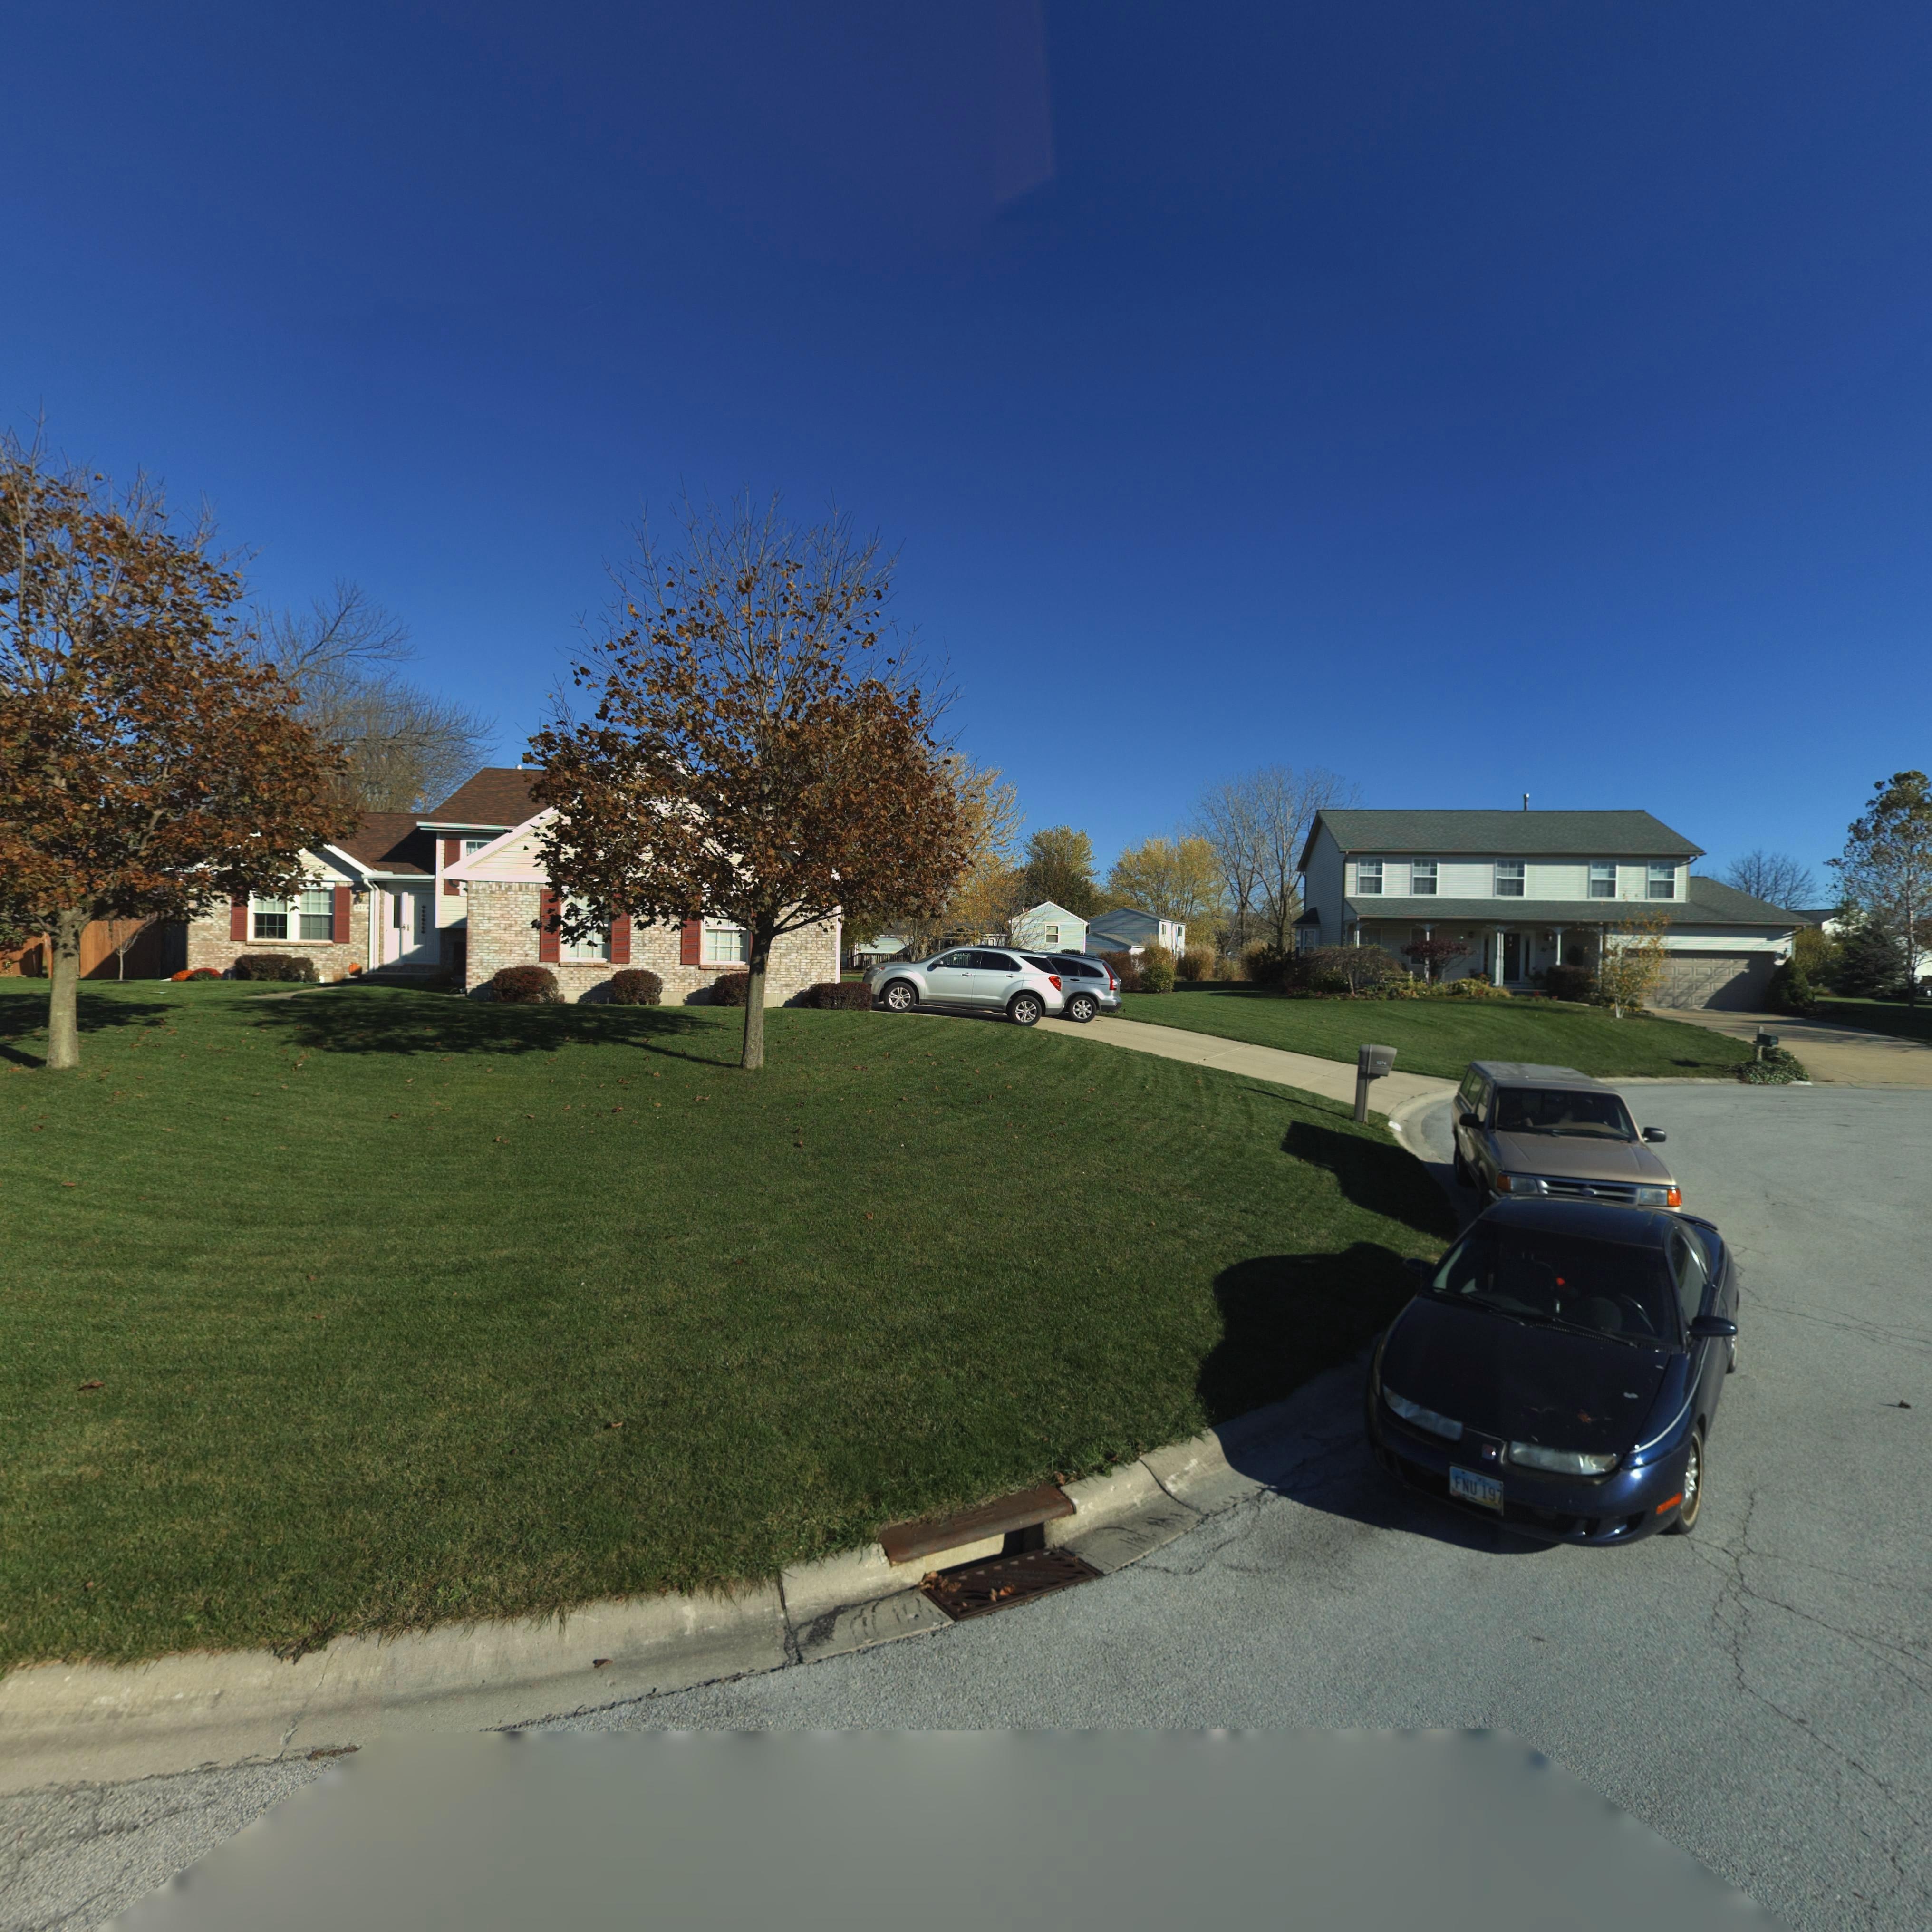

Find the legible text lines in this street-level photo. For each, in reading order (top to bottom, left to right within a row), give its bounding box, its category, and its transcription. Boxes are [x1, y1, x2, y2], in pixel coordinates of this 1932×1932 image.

[355, 905, 370, 910] StreetNumber: 6374
[1376, 1060, 1387, 1065] StreetNumber: 6374